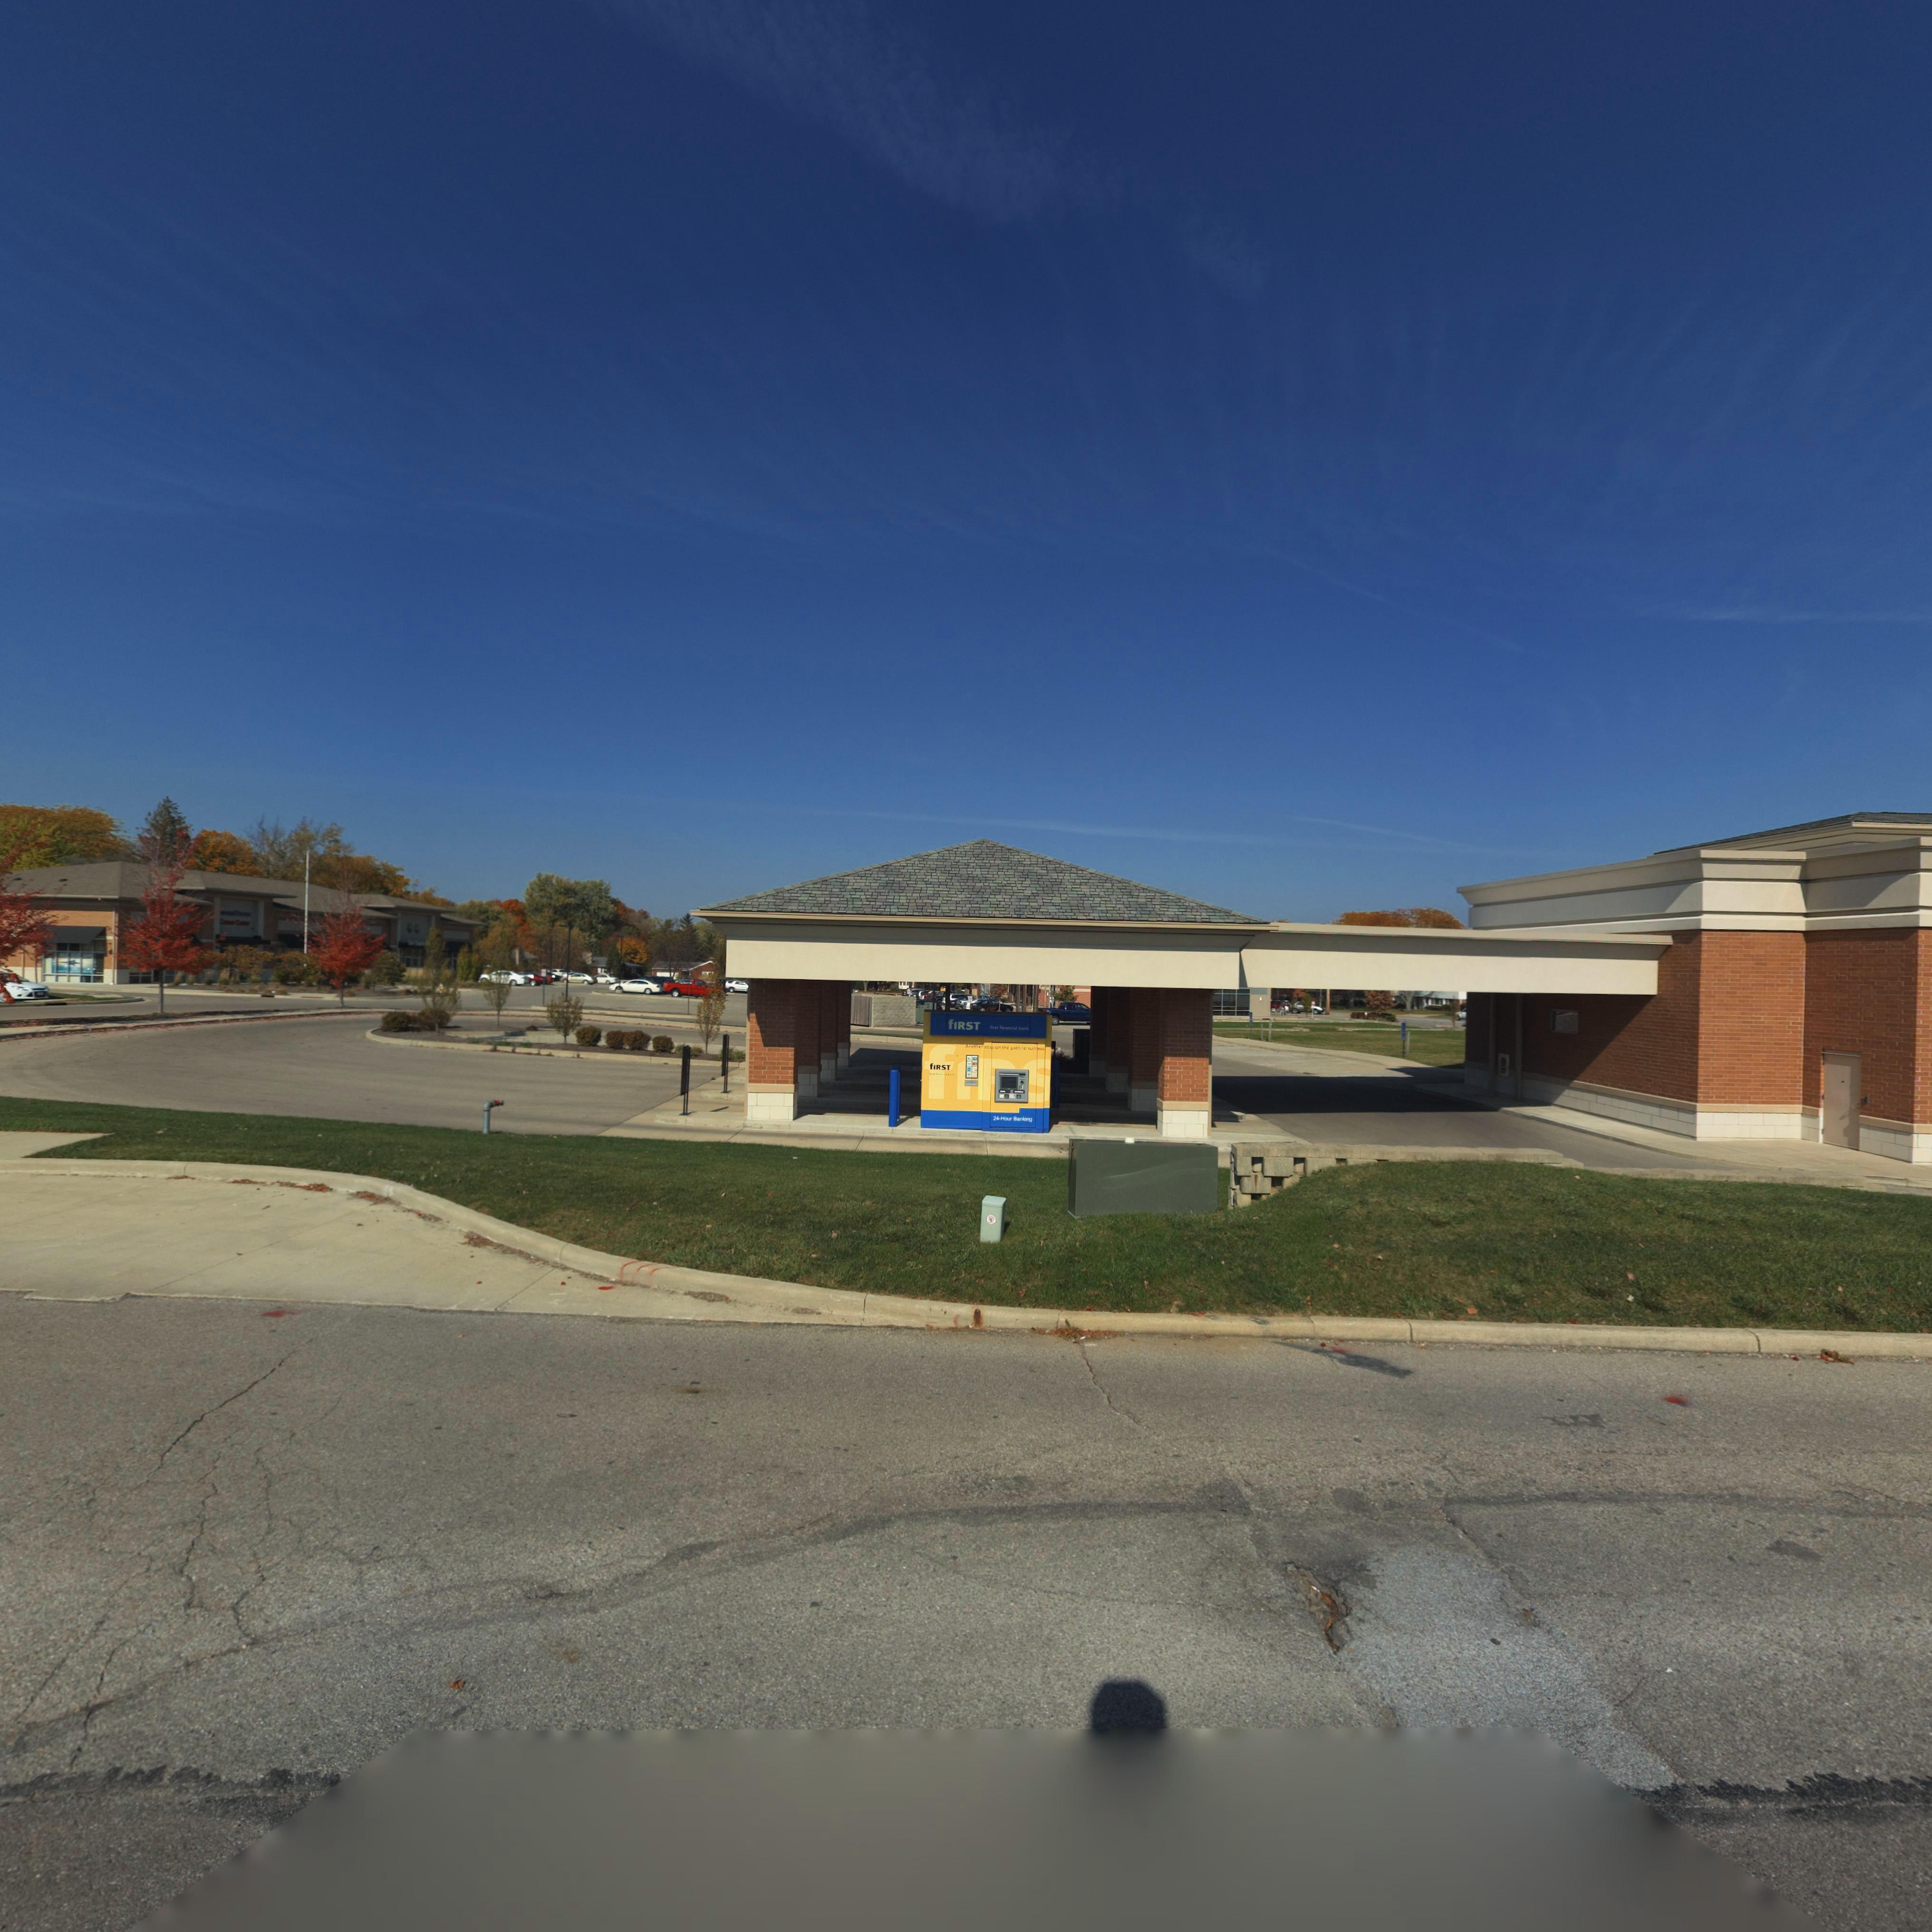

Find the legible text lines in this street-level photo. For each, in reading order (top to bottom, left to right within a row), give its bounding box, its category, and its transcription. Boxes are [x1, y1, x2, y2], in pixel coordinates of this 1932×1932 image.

[947, 1018, 982, 1031] BusinessName: fIRST
[929, 1062, 952, 1071] BusinessName: fIRST